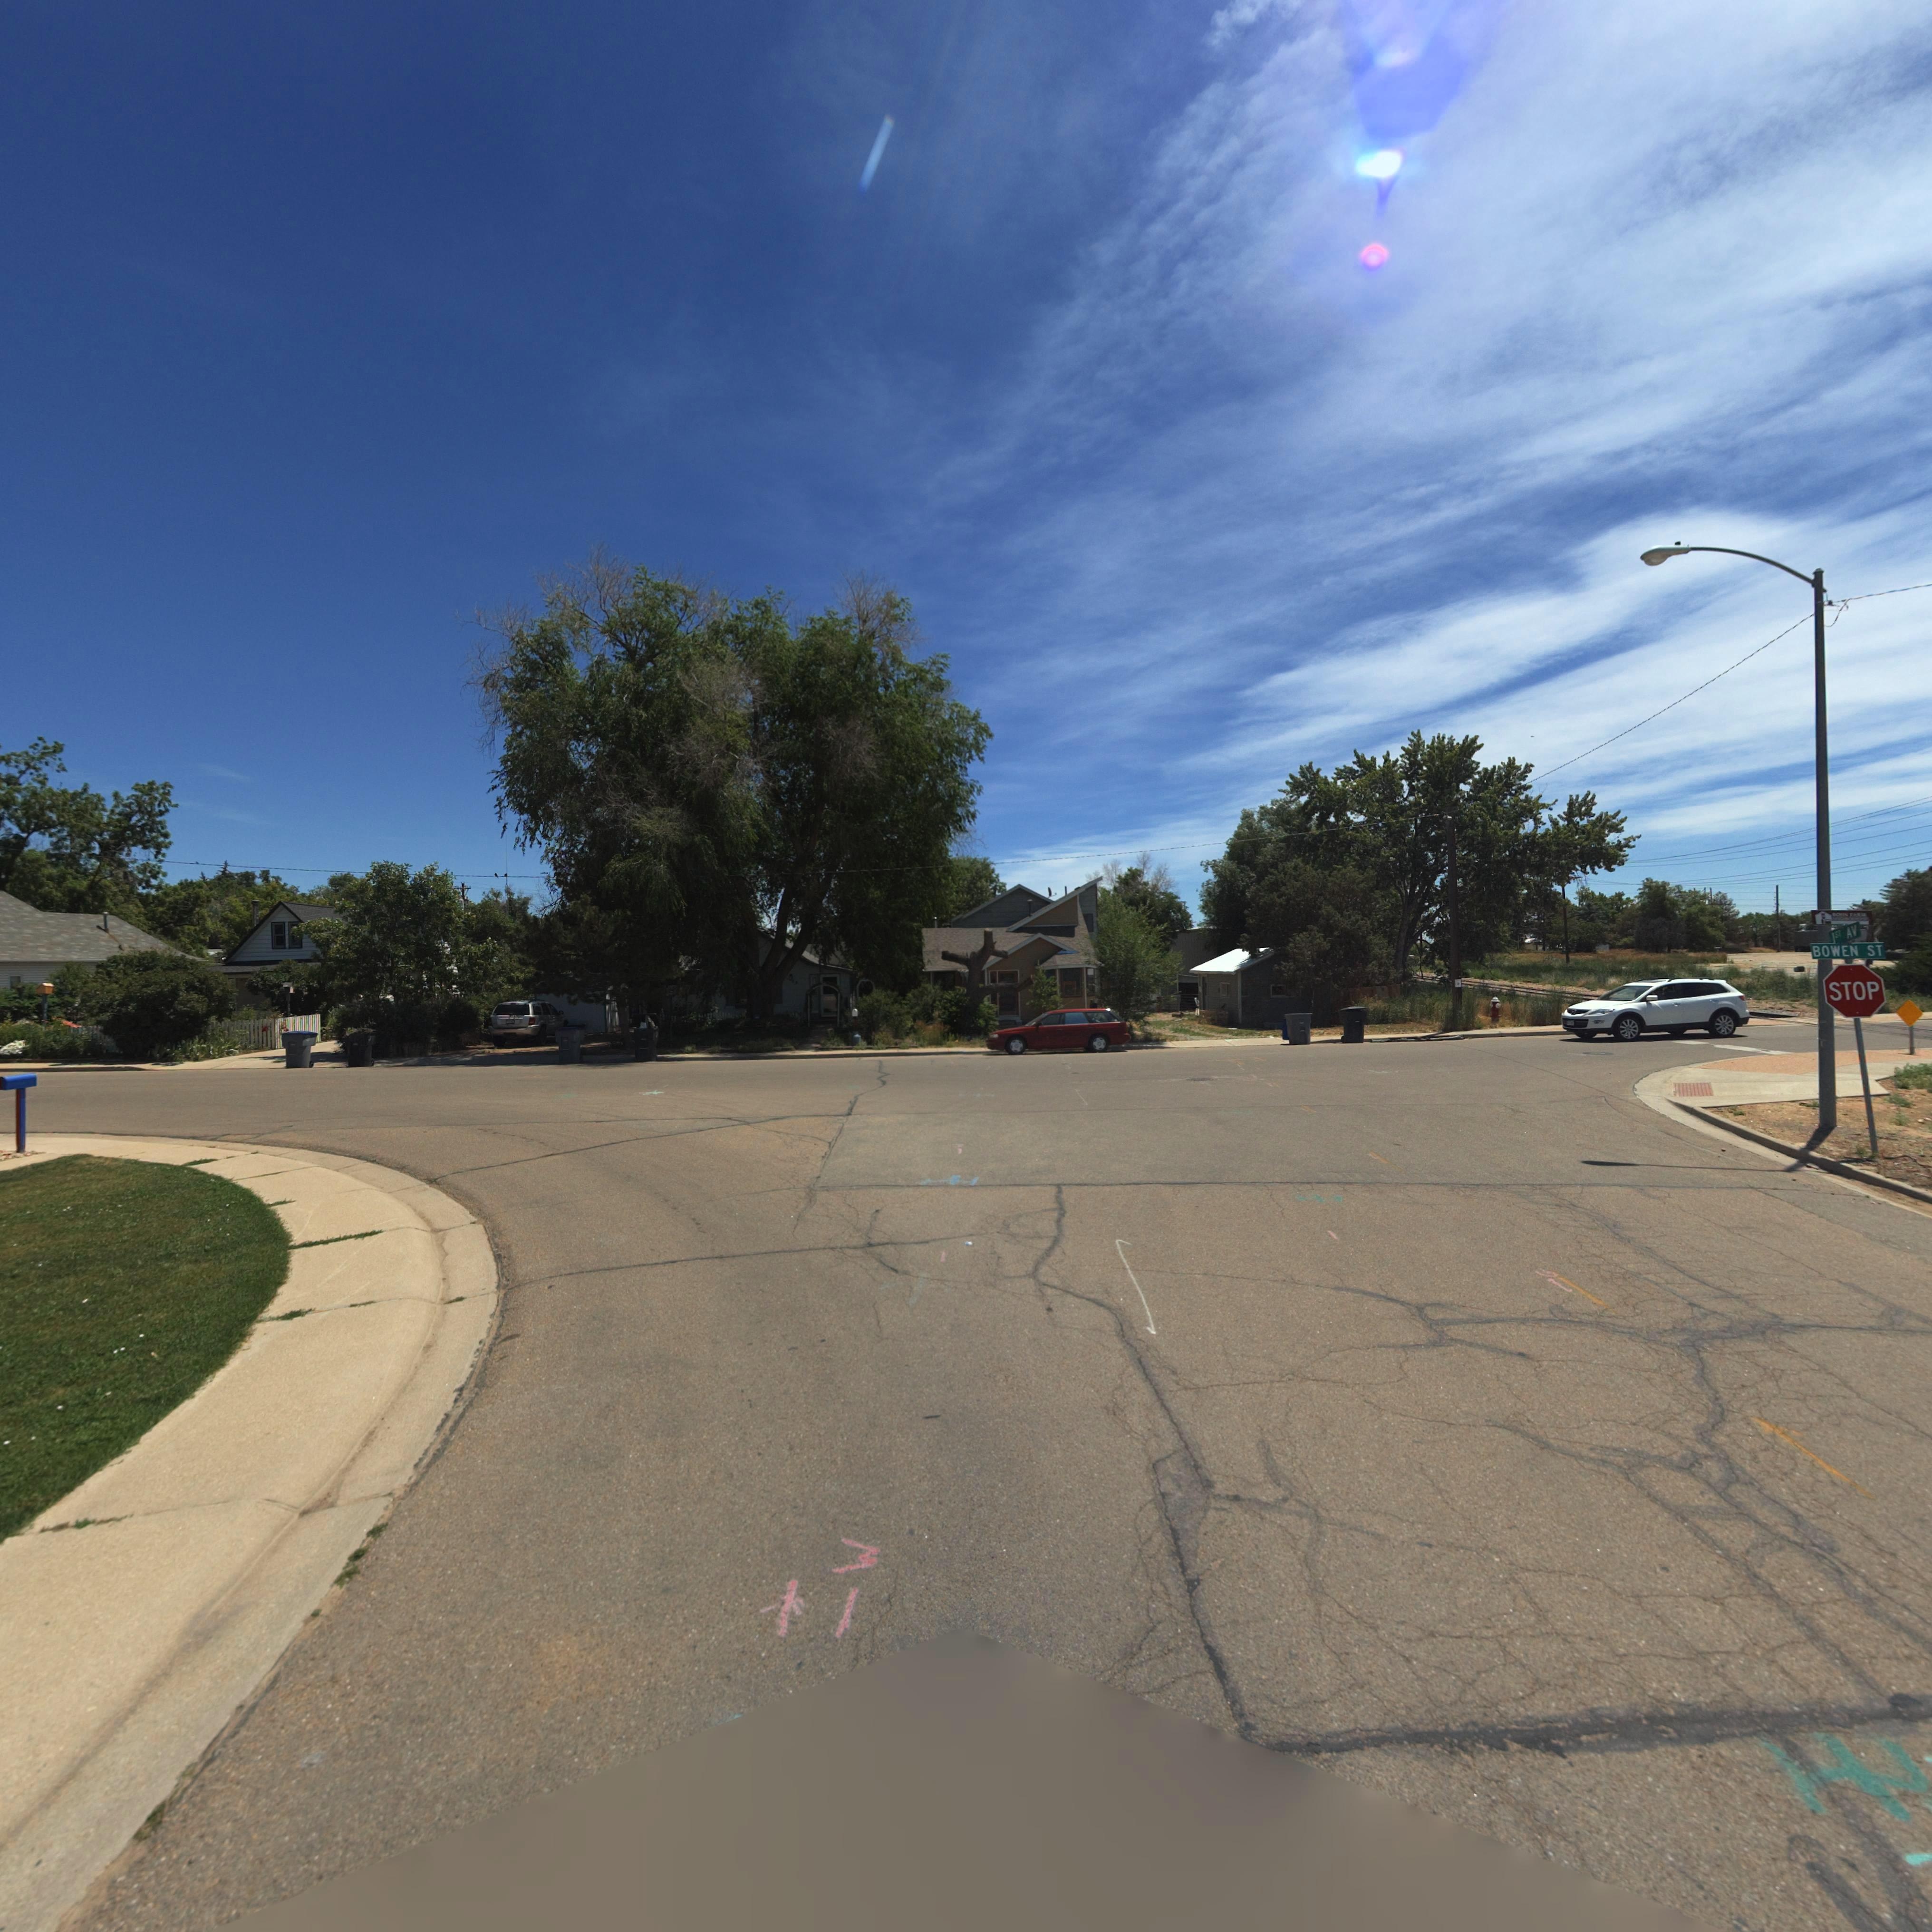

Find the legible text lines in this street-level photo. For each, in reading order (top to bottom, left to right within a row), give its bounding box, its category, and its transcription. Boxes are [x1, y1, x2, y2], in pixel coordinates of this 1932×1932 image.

[1831, 924, 1856, 943] StreetName: 1ST AV
[1812, 944, 1882, 957] StreetName: BOWEN ST